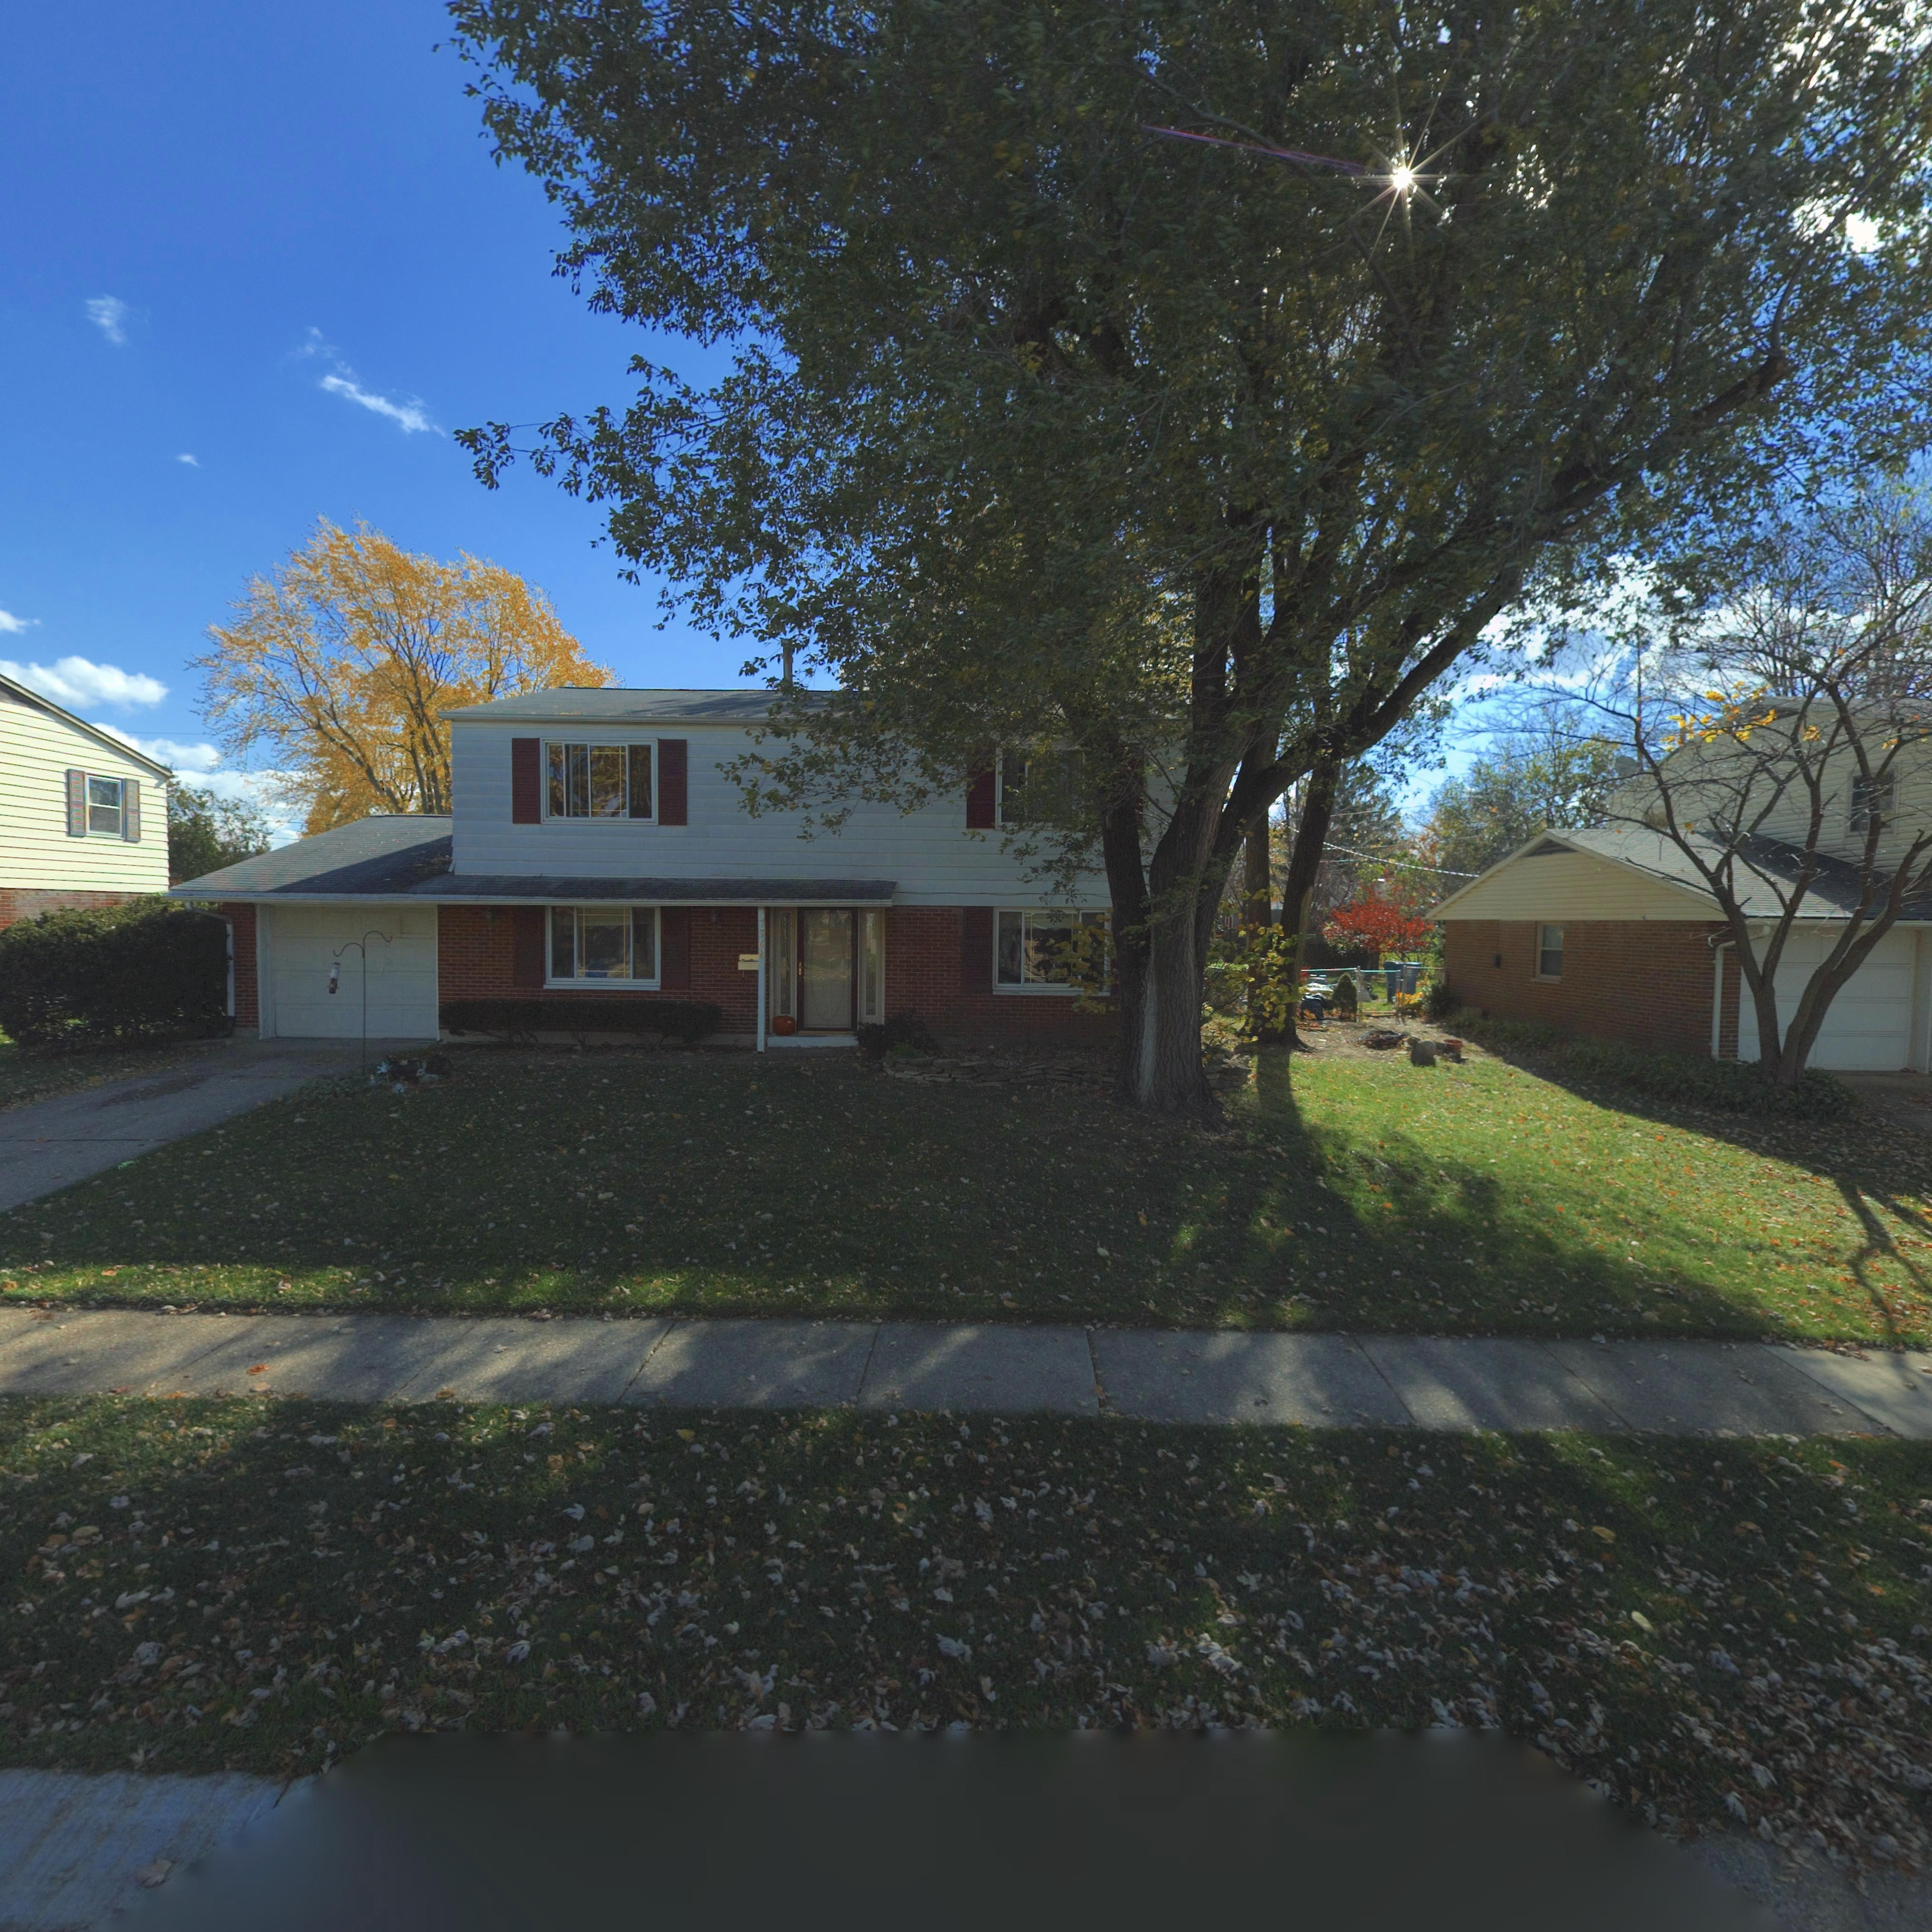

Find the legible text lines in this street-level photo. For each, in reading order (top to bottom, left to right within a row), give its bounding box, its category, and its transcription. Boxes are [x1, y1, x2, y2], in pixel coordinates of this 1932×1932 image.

[759, 918, 765, 959] StreetNumber: 7748